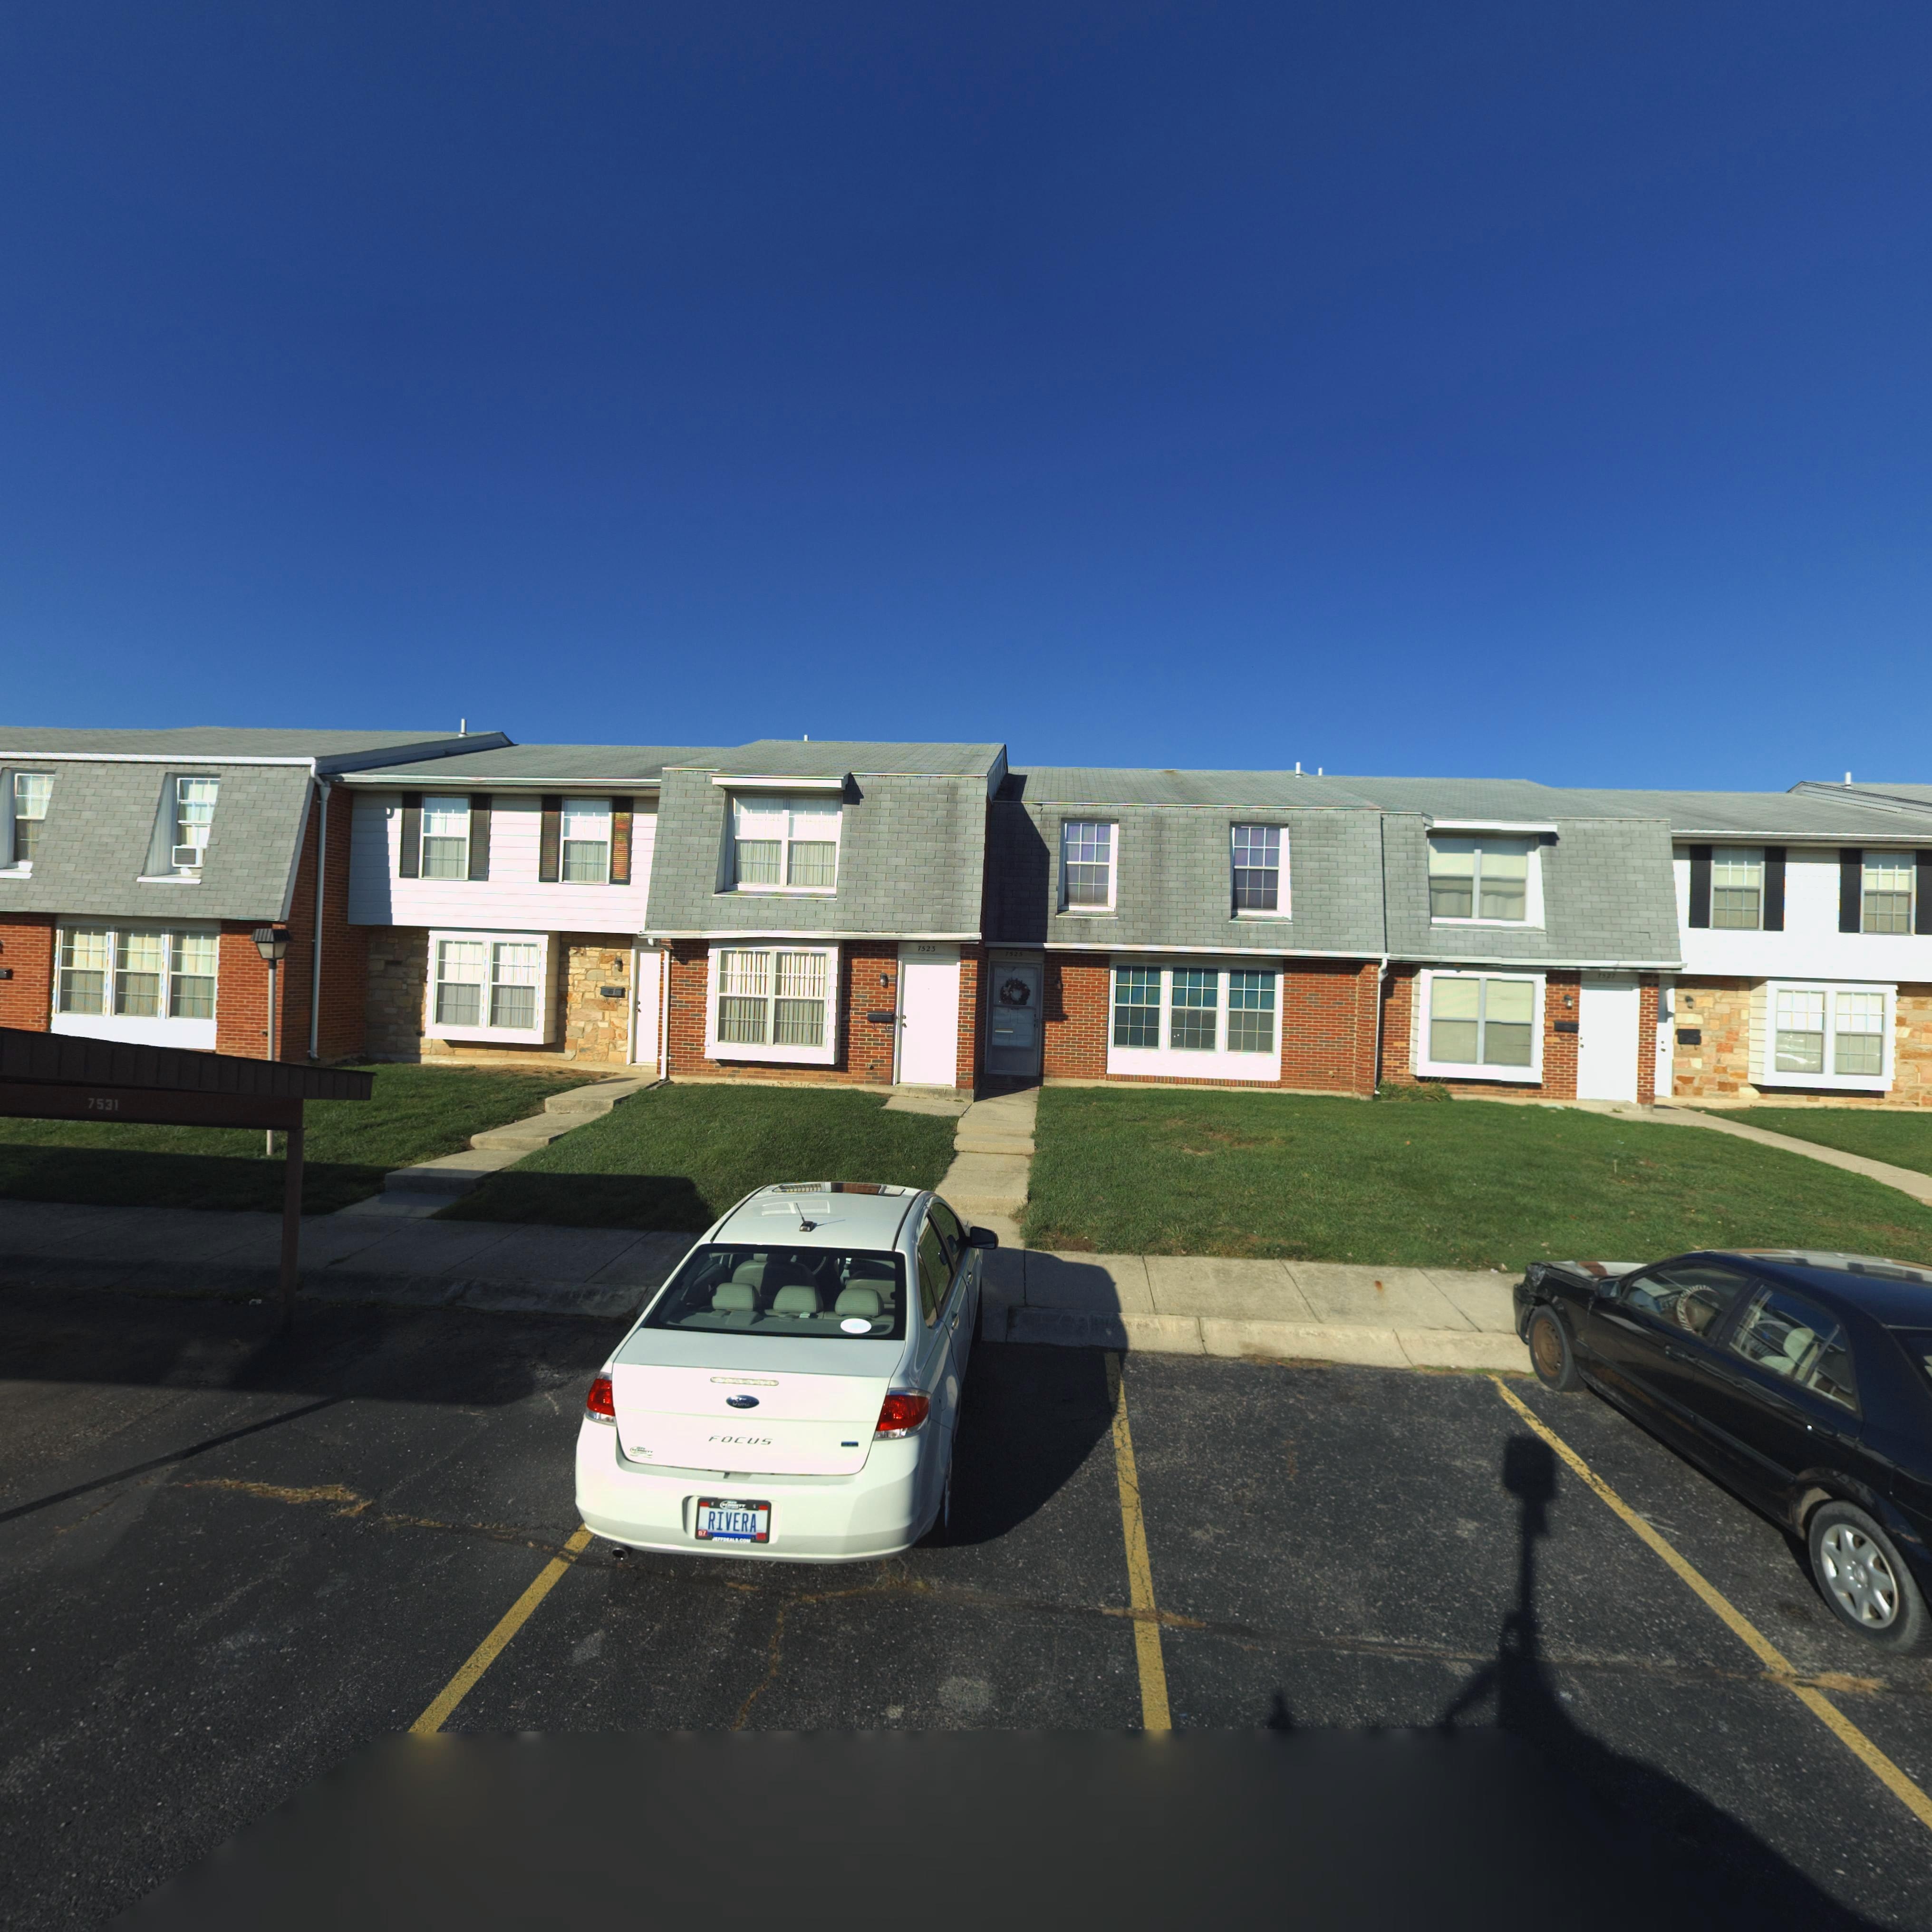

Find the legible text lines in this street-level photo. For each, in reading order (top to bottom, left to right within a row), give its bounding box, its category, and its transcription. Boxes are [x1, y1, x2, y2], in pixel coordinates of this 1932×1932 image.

[918, 946, 936, 952] StreetNumber: 7523
[1005, 951, 1024, 957] StreetNumber: 7525
[1597, 972, 1617, 980] StreetNumber: 7527
[87, 1097, 119, 1111] StreetNumber: 7531